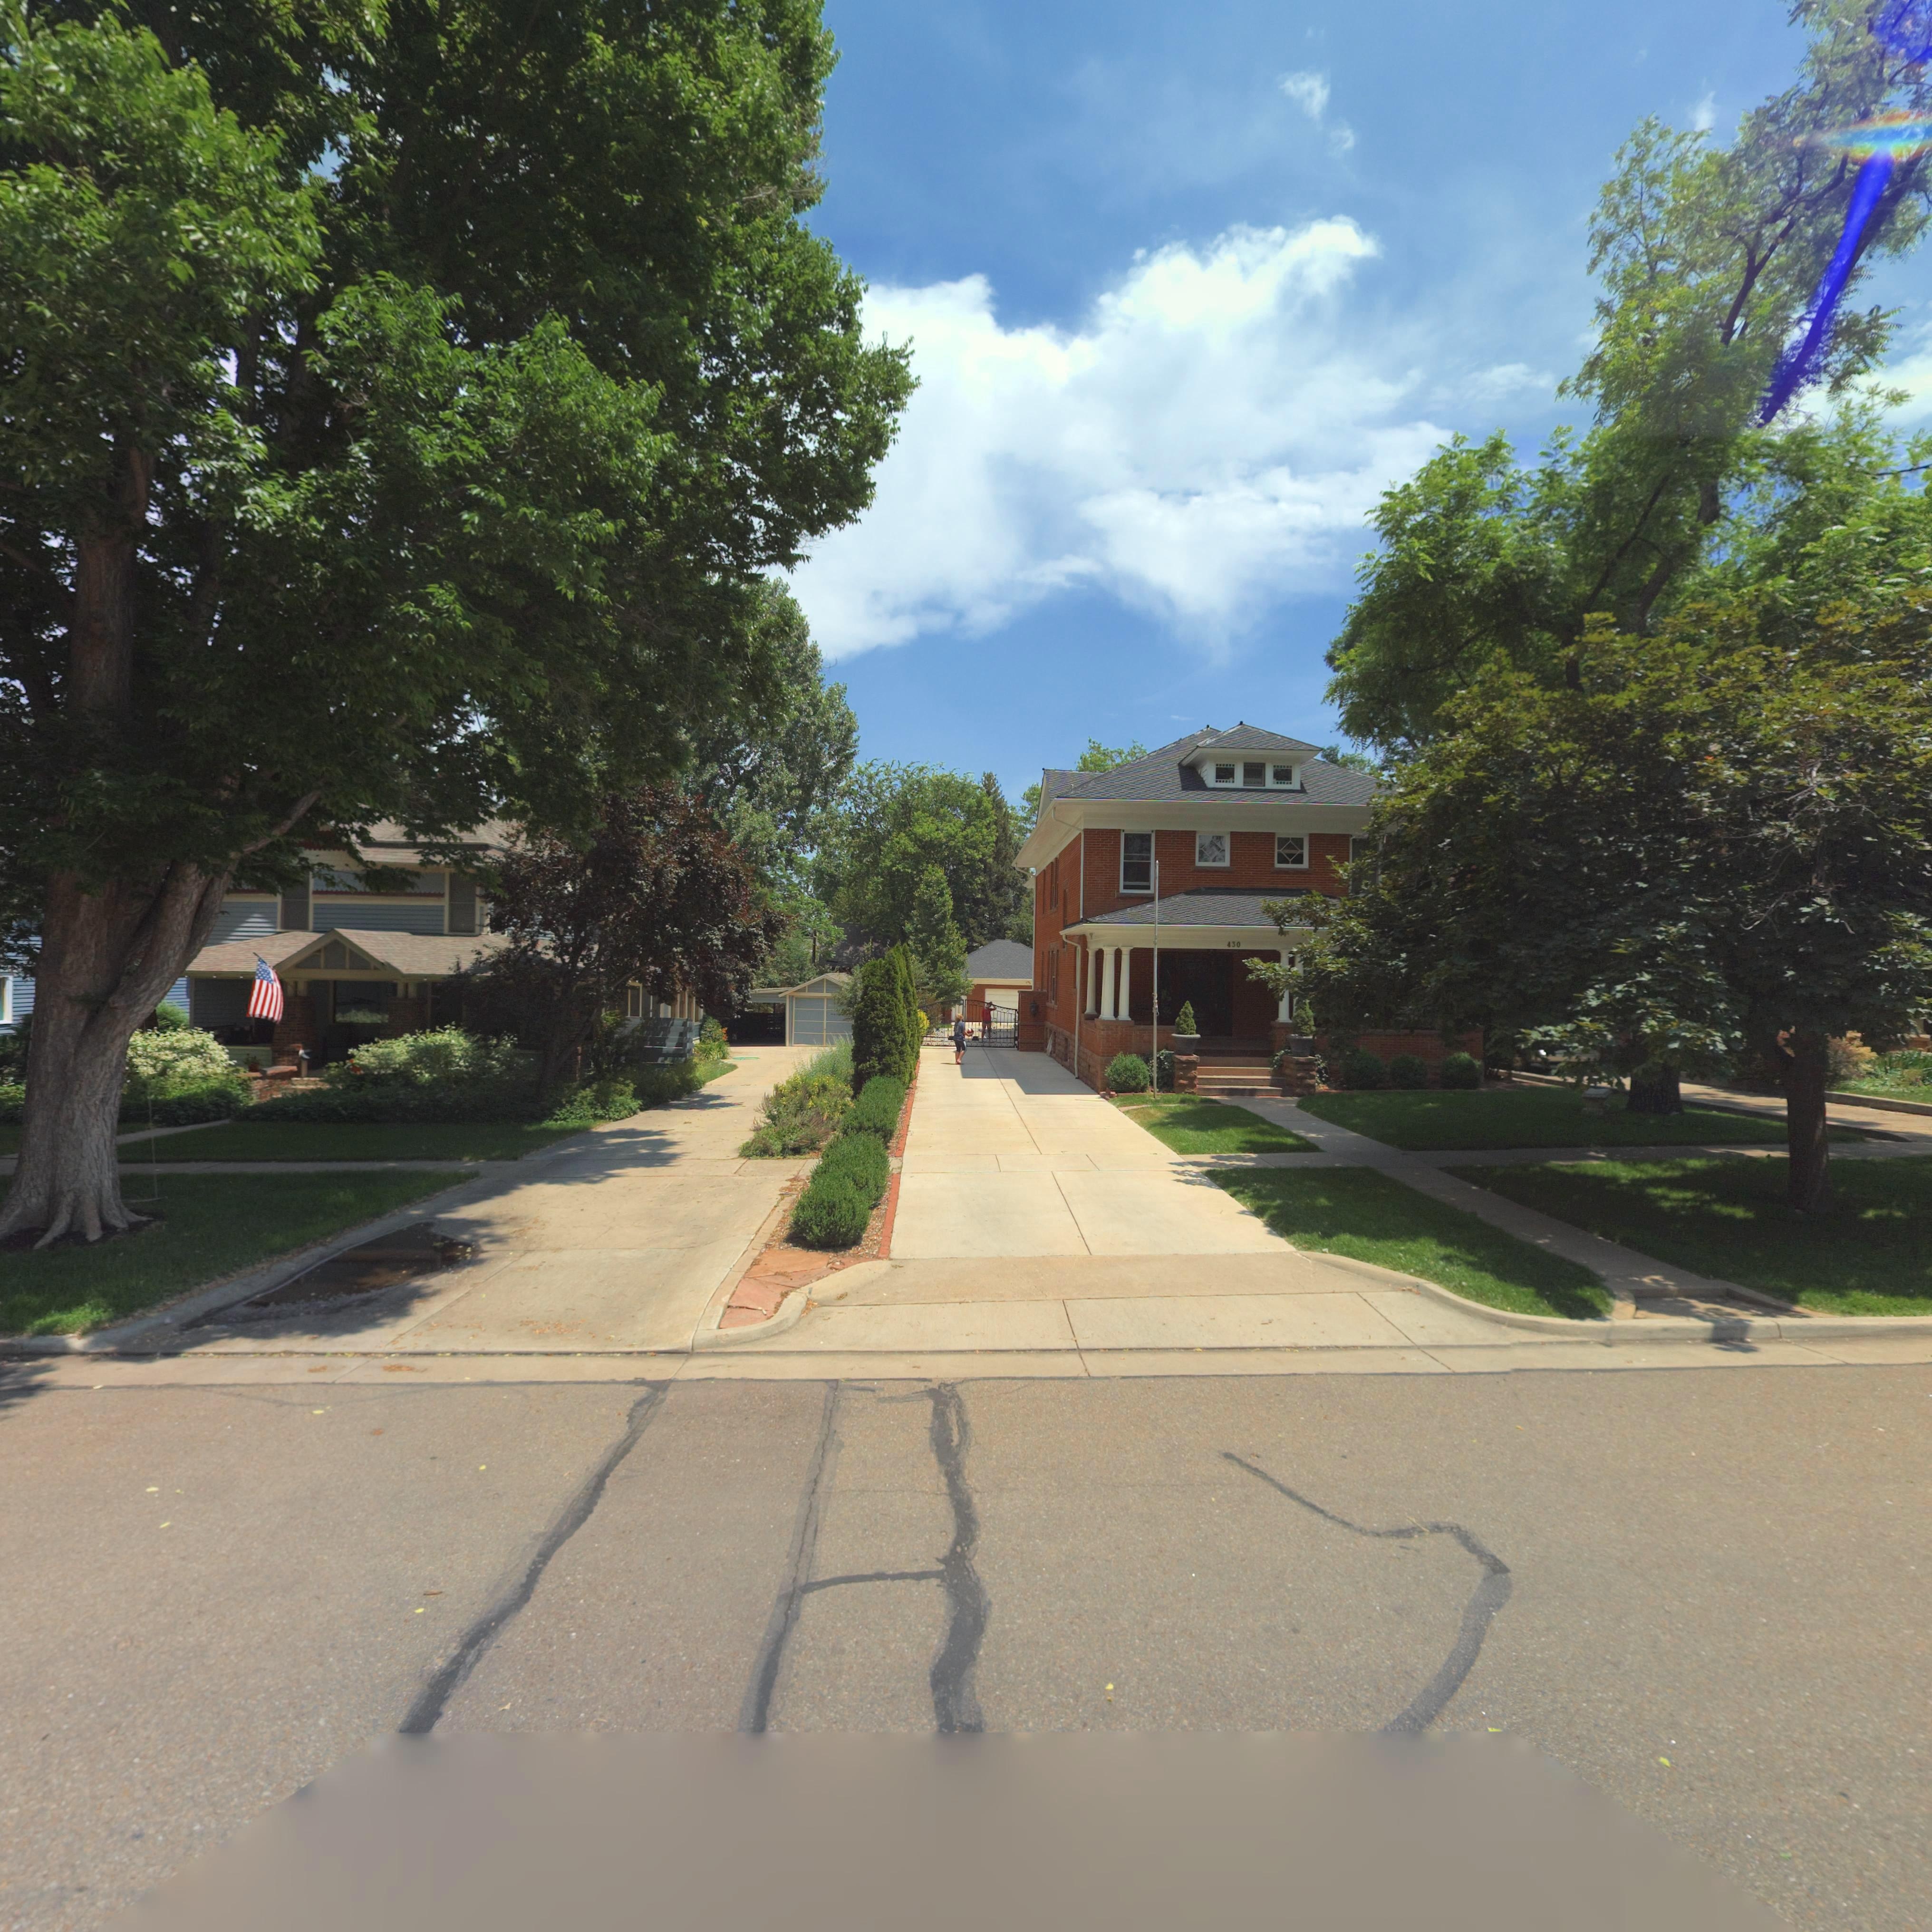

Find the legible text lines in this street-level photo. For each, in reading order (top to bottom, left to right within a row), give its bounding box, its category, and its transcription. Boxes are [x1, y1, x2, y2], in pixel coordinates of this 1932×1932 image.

[1226, 941, 1241, 947] StreetNumber: 430